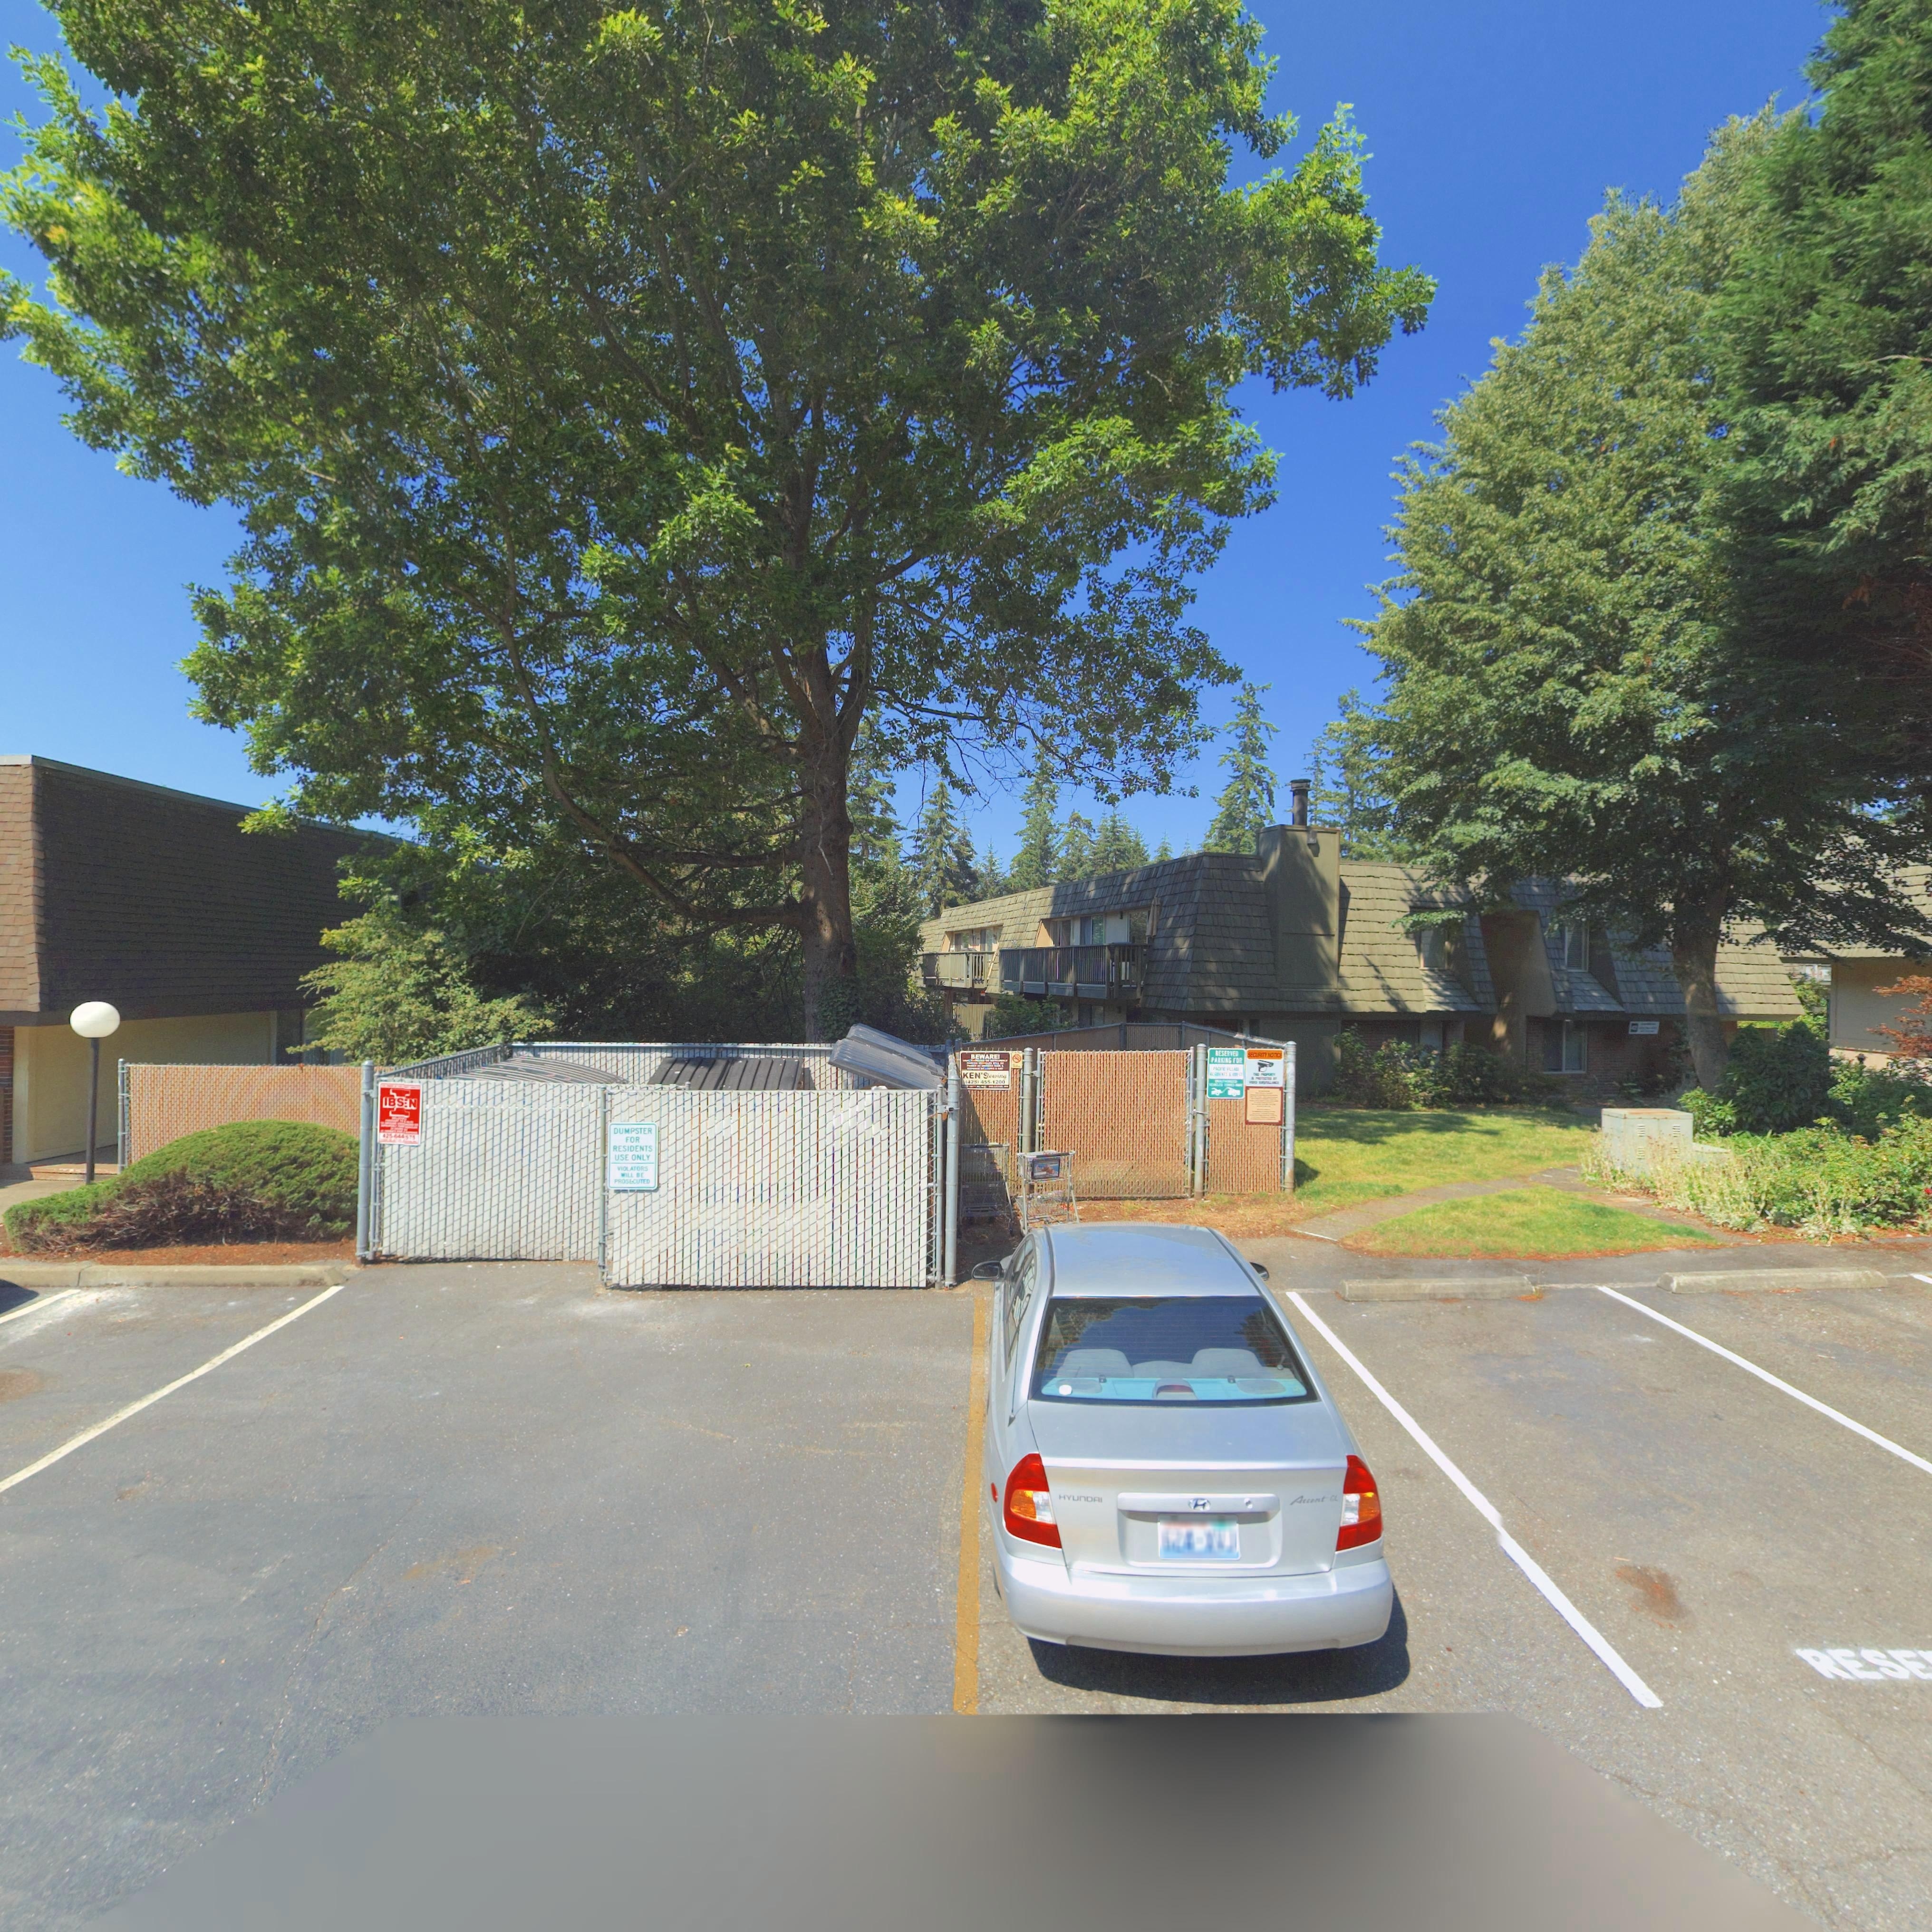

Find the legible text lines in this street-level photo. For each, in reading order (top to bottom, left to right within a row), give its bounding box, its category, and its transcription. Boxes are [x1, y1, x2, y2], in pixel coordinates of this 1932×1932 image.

[382, 1095, 416, 1110] None: IBSEN
[611, 1125, 654, 1136] None: DUMPSTER
[621, 1135, 642, 1143] None: FOR
[1791, 1637, 1932, 1701] None: RESE